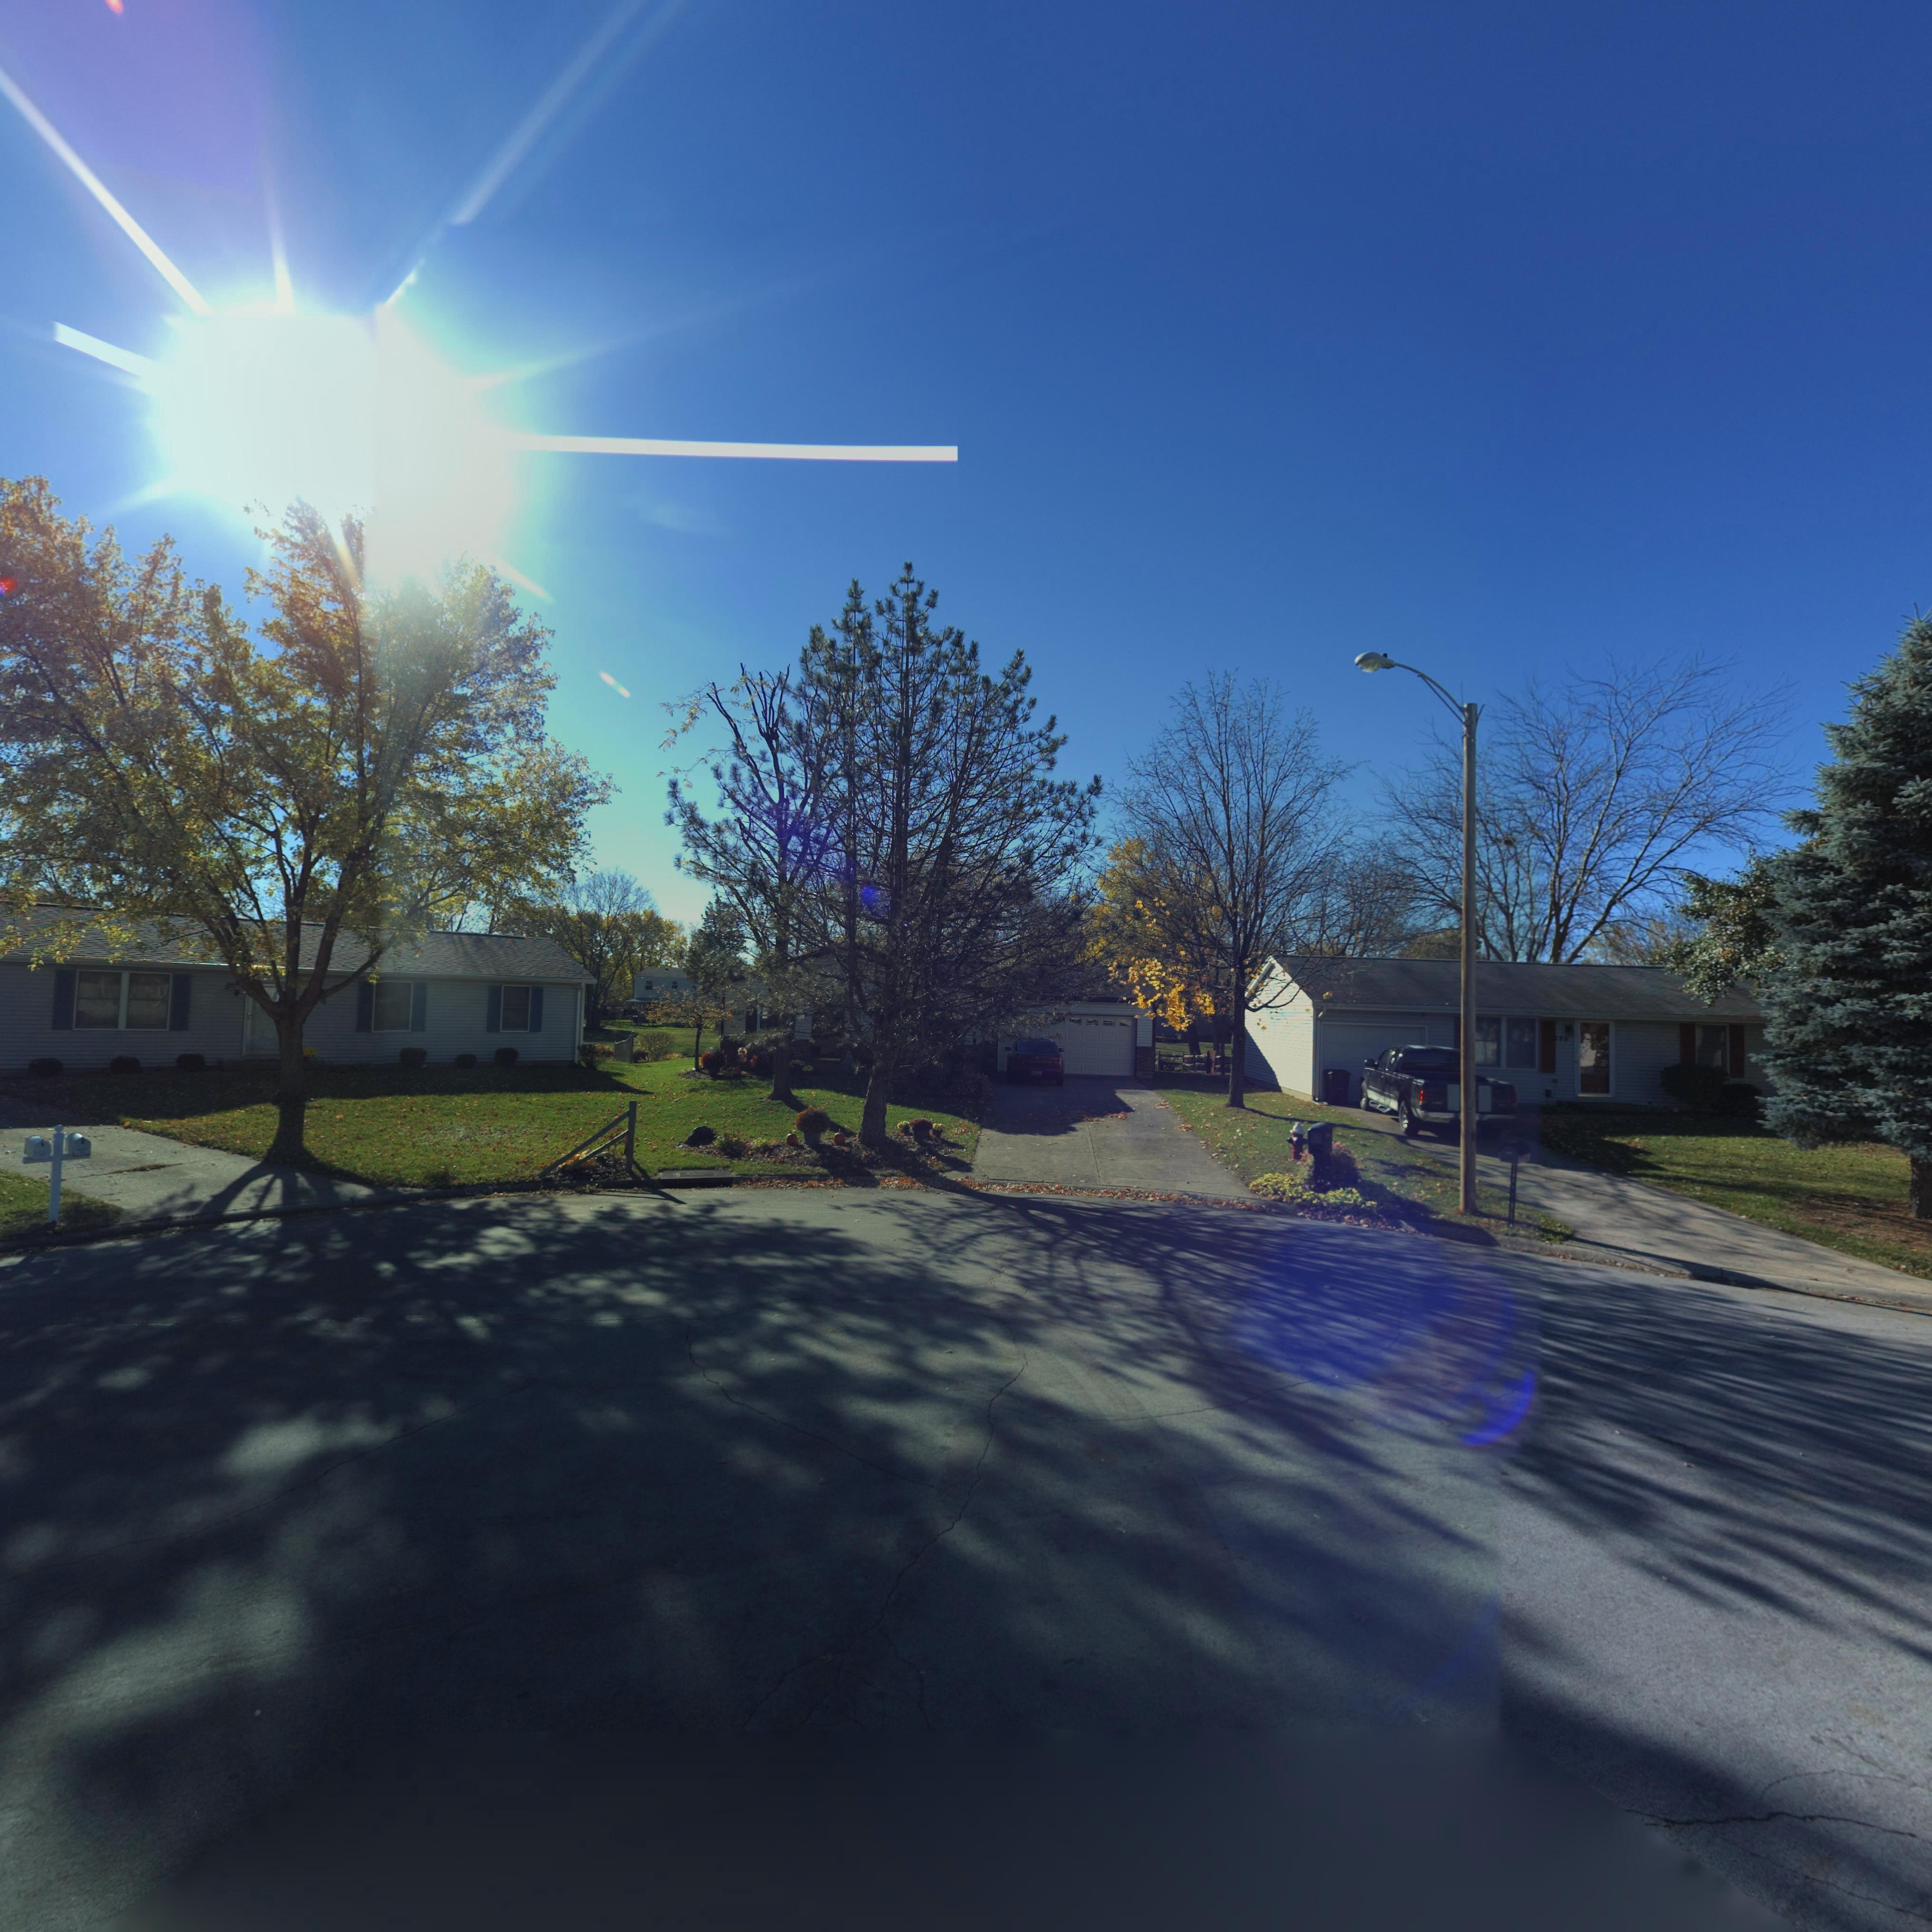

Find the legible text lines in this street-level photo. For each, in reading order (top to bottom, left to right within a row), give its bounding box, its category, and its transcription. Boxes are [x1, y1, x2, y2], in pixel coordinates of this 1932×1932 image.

[1555, 1034, 1569, 1043] StreetNumber: 120